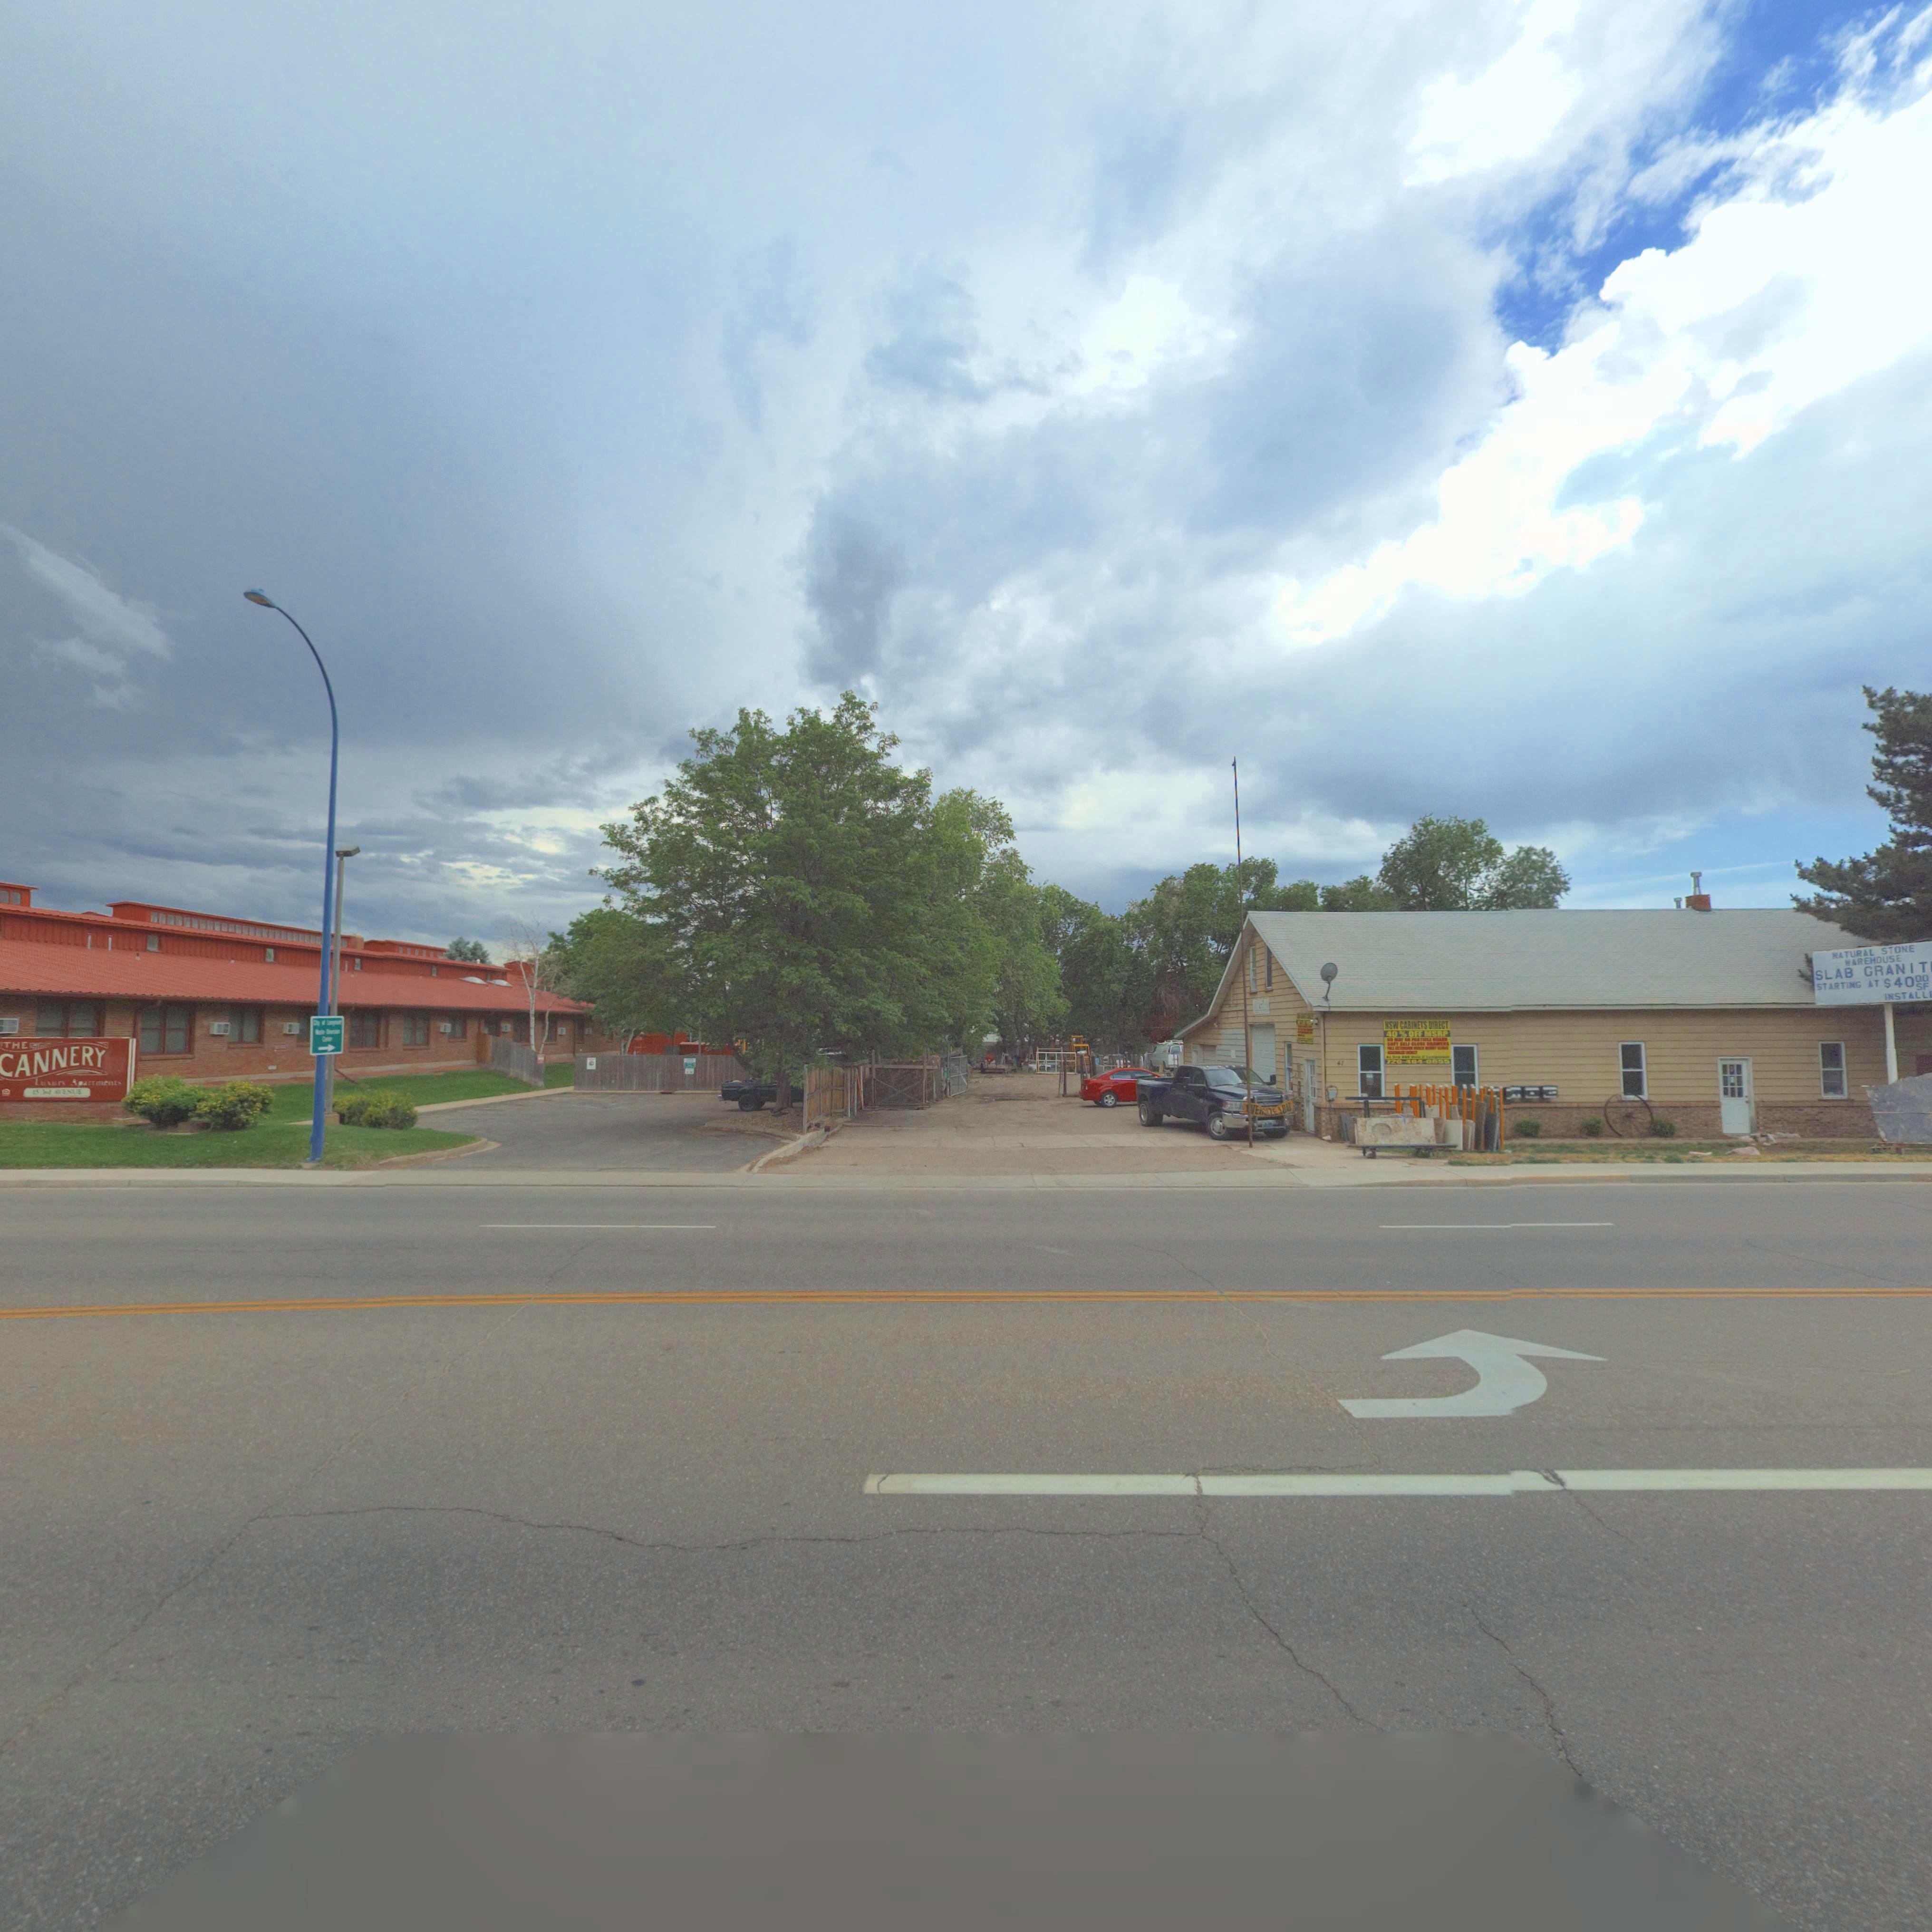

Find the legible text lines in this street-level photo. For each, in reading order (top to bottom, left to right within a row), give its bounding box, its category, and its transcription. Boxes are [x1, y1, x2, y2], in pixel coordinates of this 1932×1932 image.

[1831, 944, 1915, 960] BusinessName: NATURAL STONE
[1843, 954, 1903, 966] BusinessName: WAREHOUSE
[2, 1042, 28, 1049] BusinessName: THE
[13, 1045, 107, 1077] BusinessName: ANNERY
[1337, 1060, 1343, 1066] StreetNumber: 41
[34, 1077, 122, 1088] BusinessName: Luxur* Apartments
[32, 1089, 39, 1094] StreetNumber: 1*
[42, 1088, 83, 1095] StreetName: 3rd AVENTUE